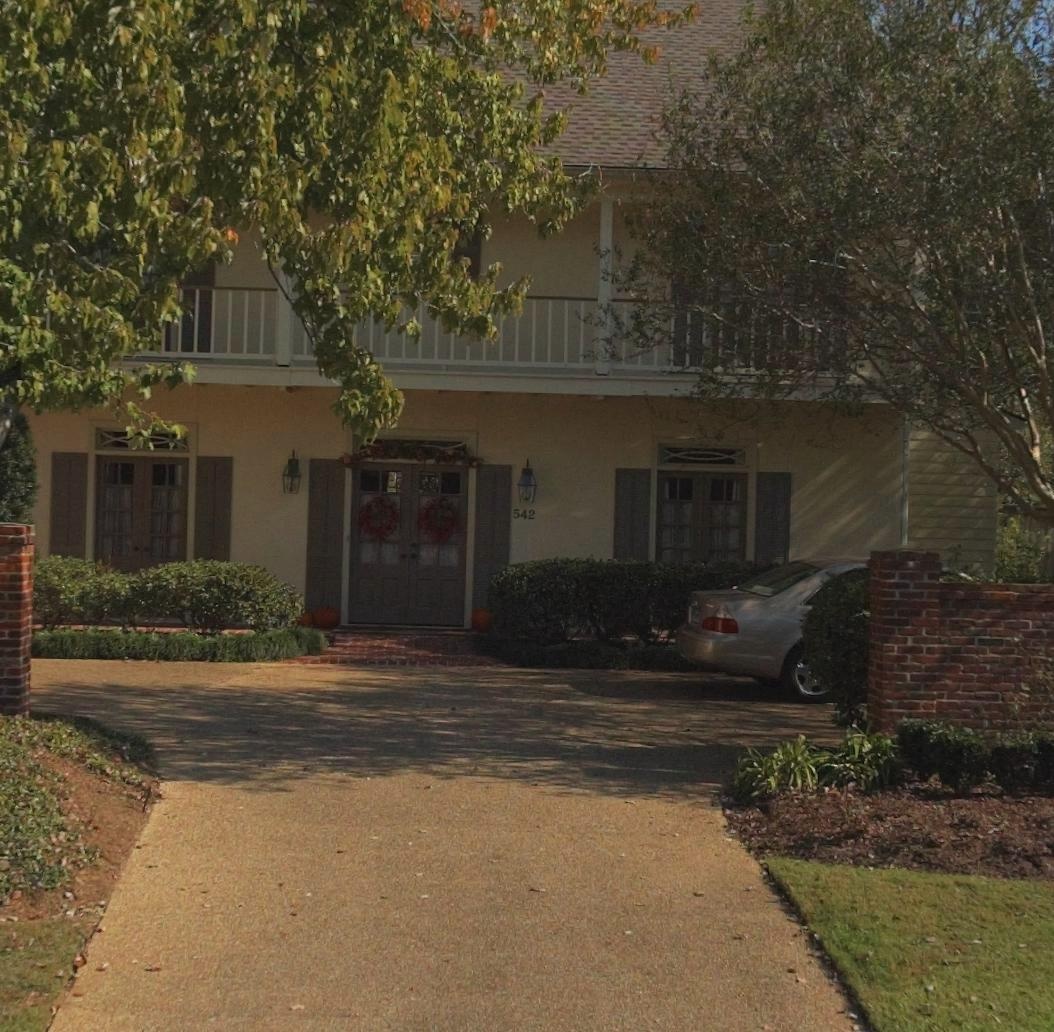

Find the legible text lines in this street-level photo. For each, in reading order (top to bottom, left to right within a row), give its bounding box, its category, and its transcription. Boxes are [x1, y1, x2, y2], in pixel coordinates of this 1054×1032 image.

[512, 508, 535, 520] StreetNumber: 542